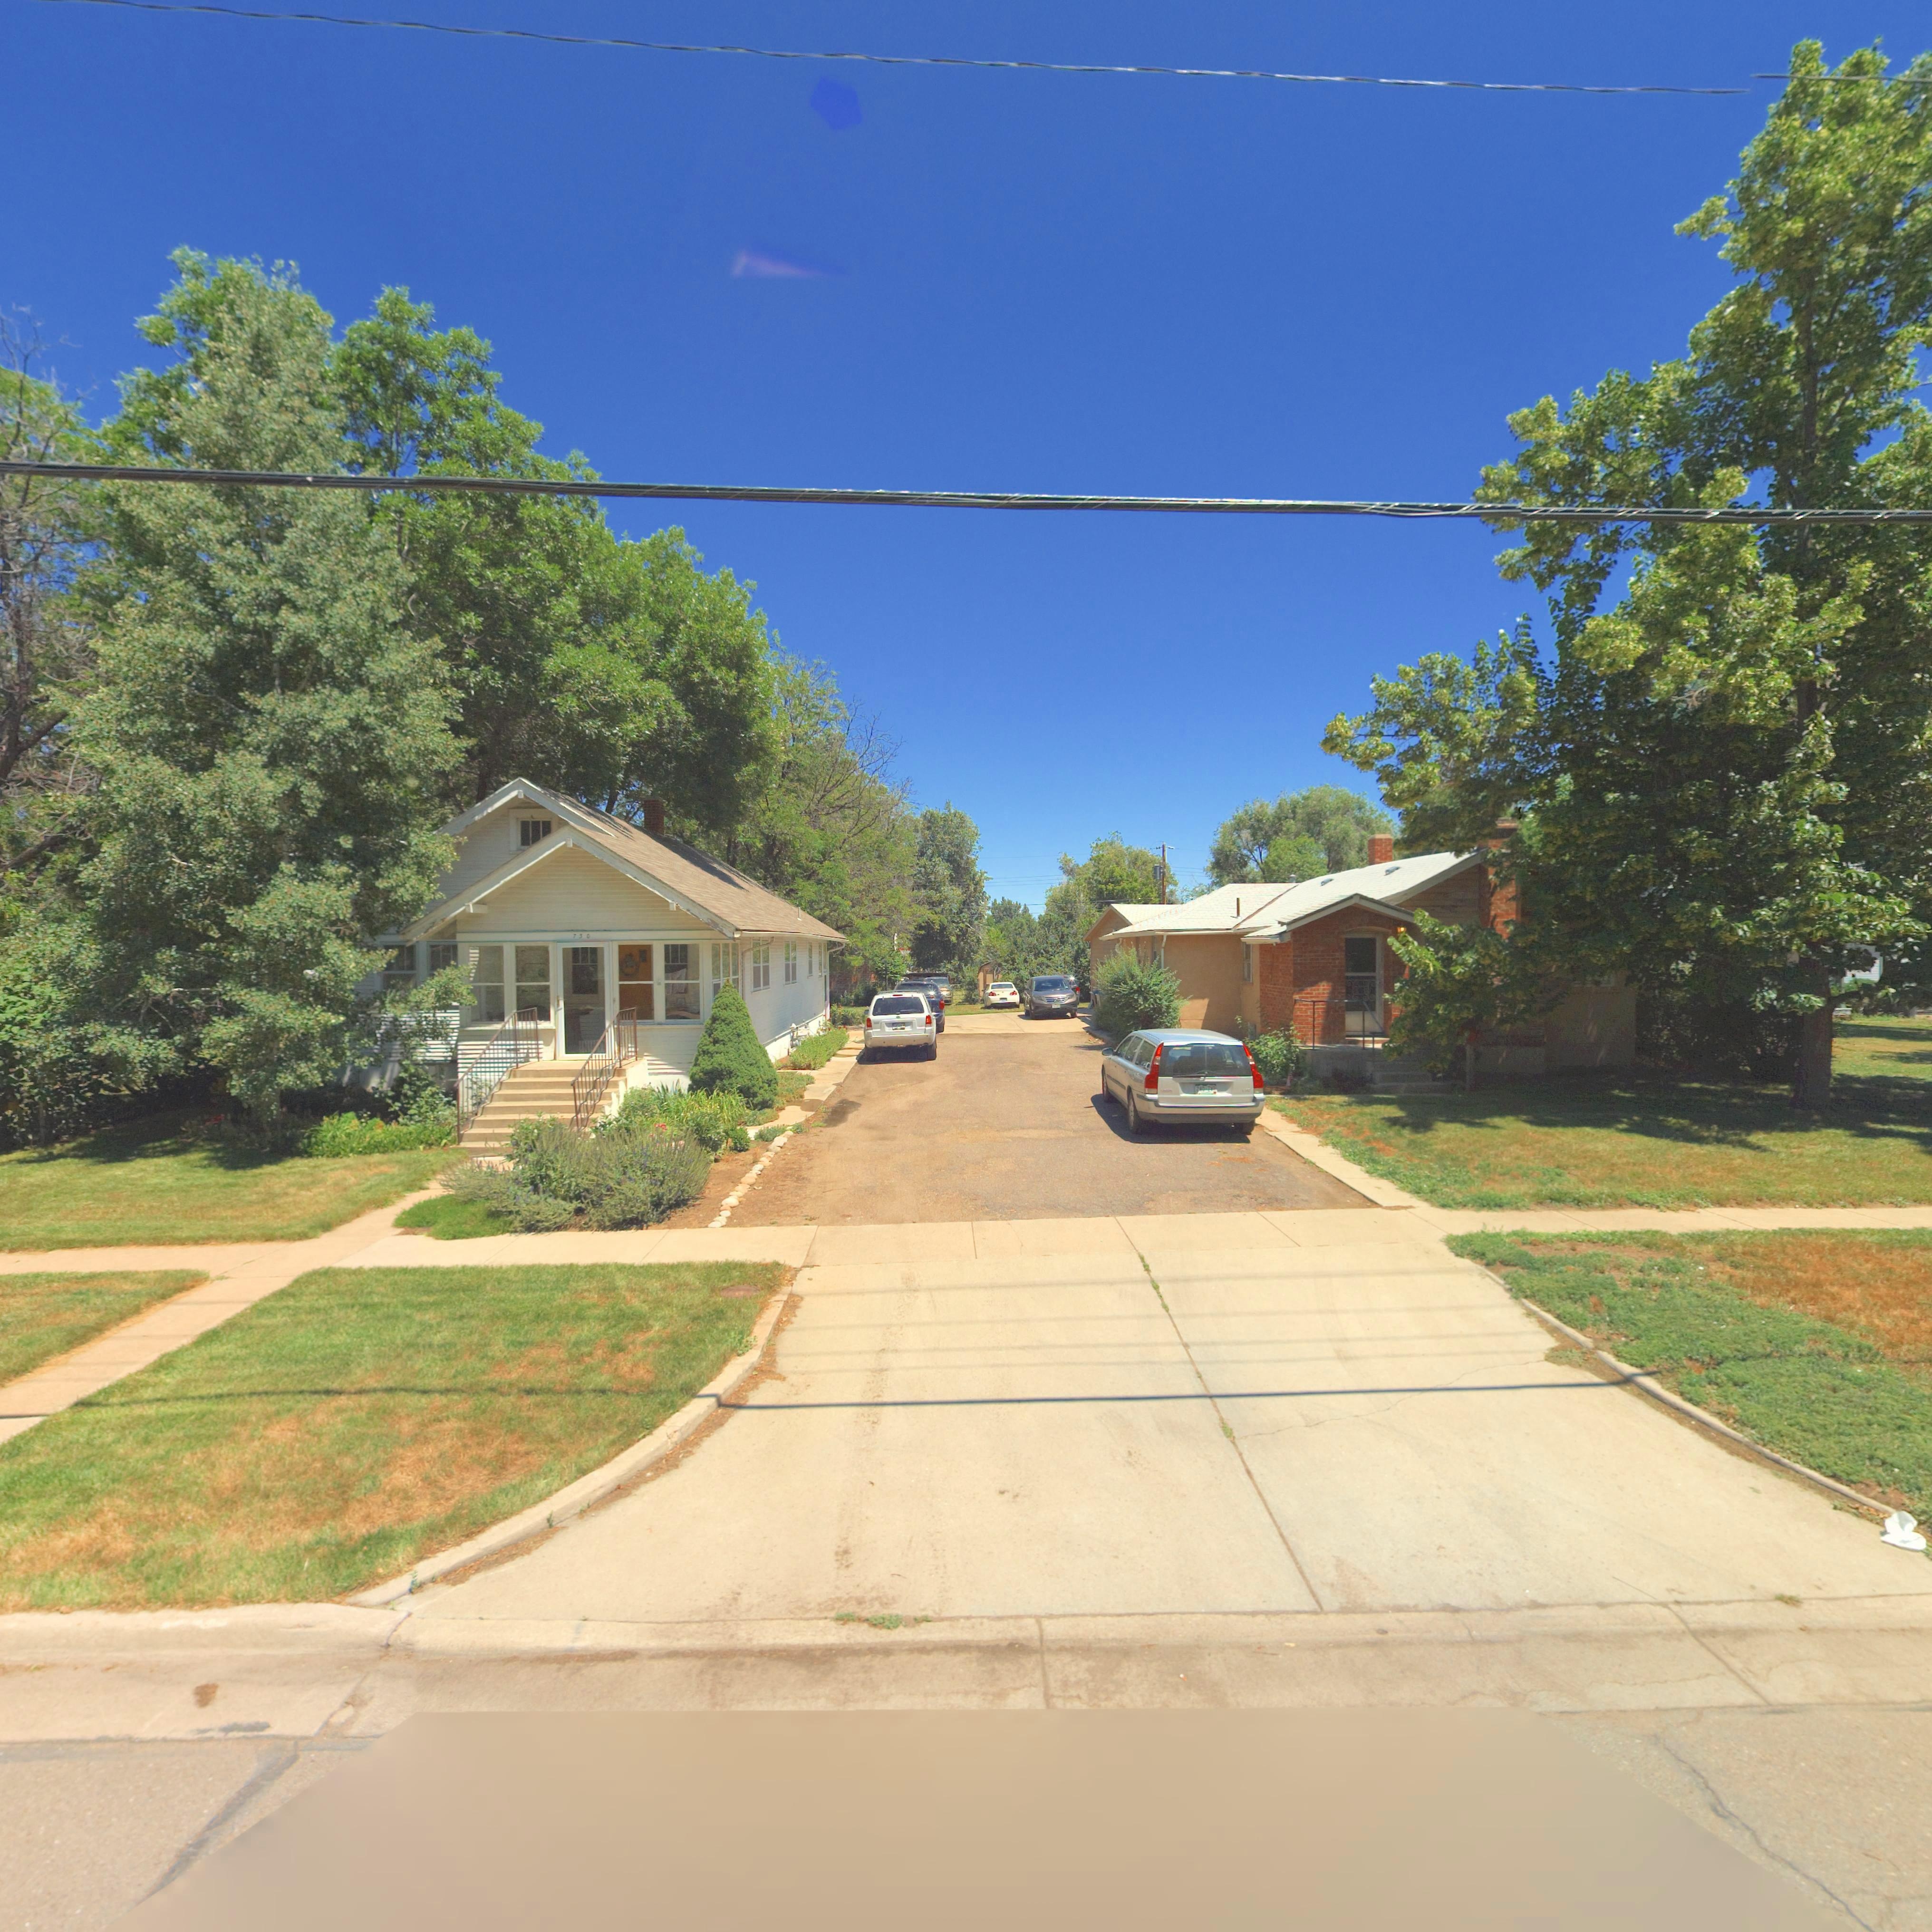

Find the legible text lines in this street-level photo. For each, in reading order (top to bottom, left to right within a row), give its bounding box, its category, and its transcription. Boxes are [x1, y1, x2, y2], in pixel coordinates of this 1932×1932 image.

[572, 933, 590, 939] StreetNumber: 730